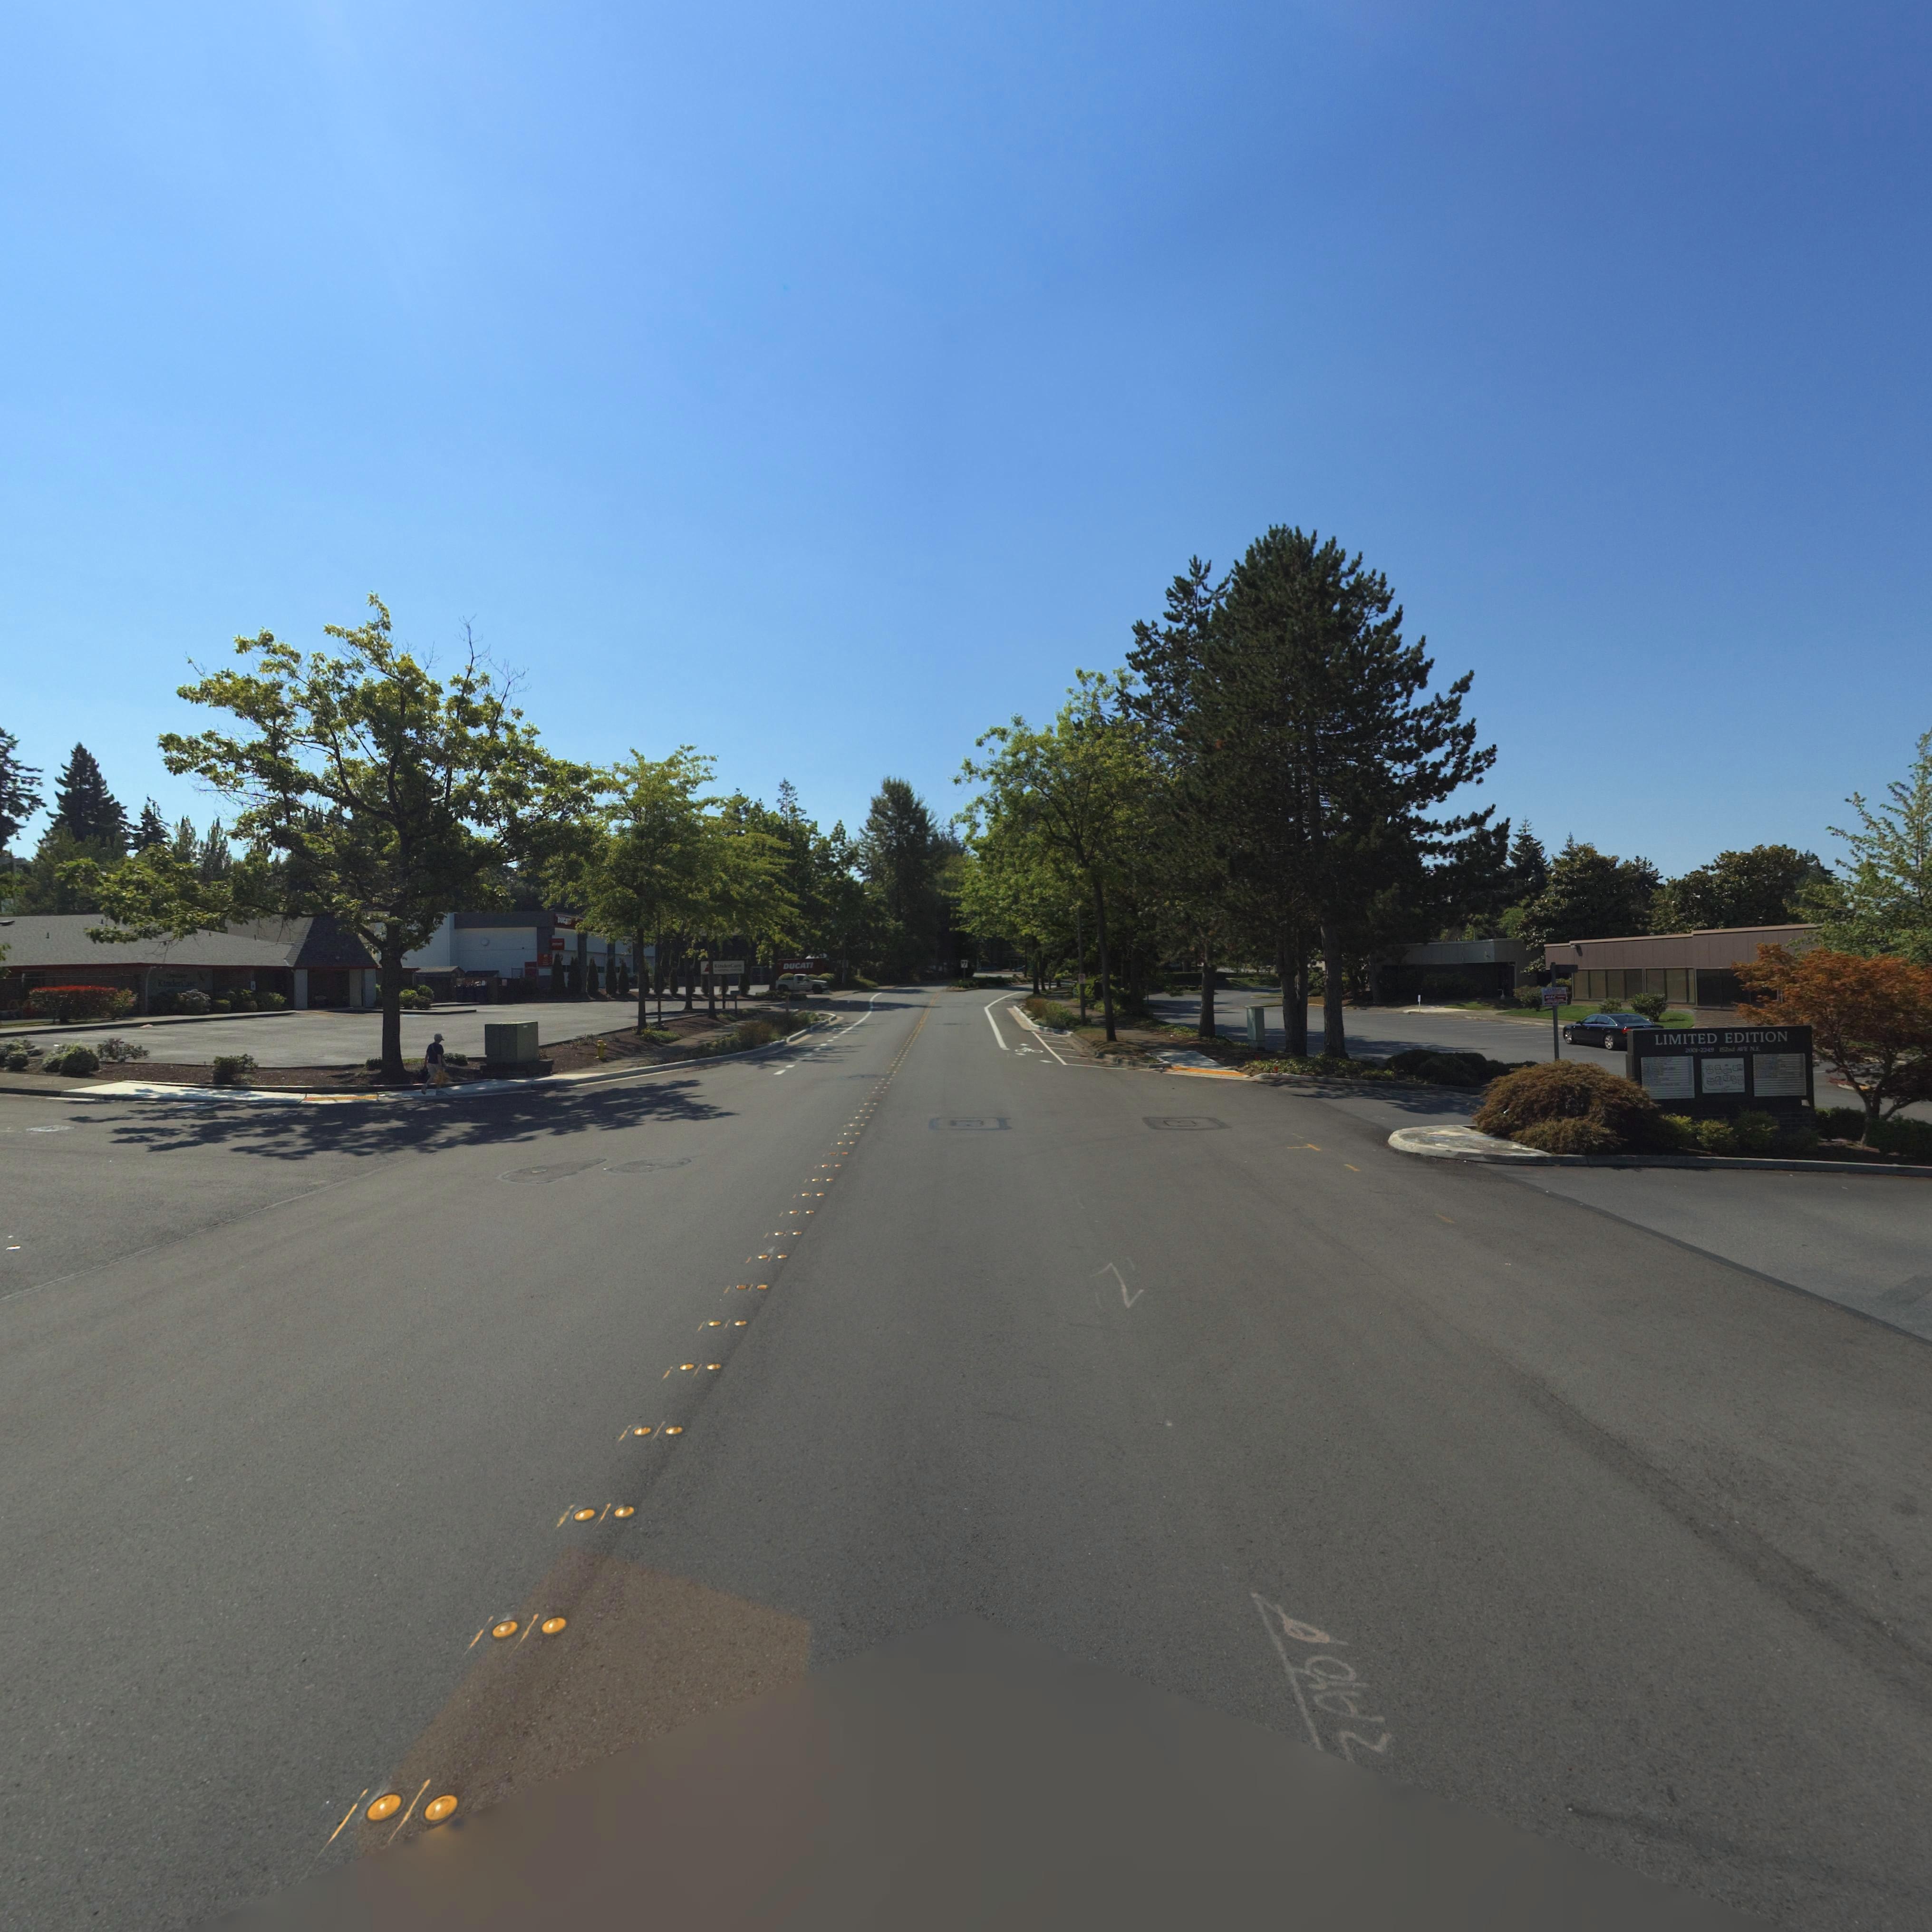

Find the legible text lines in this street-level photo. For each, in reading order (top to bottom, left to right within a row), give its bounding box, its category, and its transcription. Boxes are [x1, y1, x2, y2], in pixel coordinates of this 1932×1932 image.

[557, 916, 572, 925] BusinessName: DUCAT*
[714, 963, 742, 968] BusinessName: Kin*erCare
[782, 962, 813, 969] BusinessName: DUCATI
[157, 978, 197, 987] BusinessName: KinderCare
[1684, 1046, 1714, 1053] StreetNumberRange: 2201-2249
[1719, 1045, 1761, 1052] StreetName: 152nd AVE NE